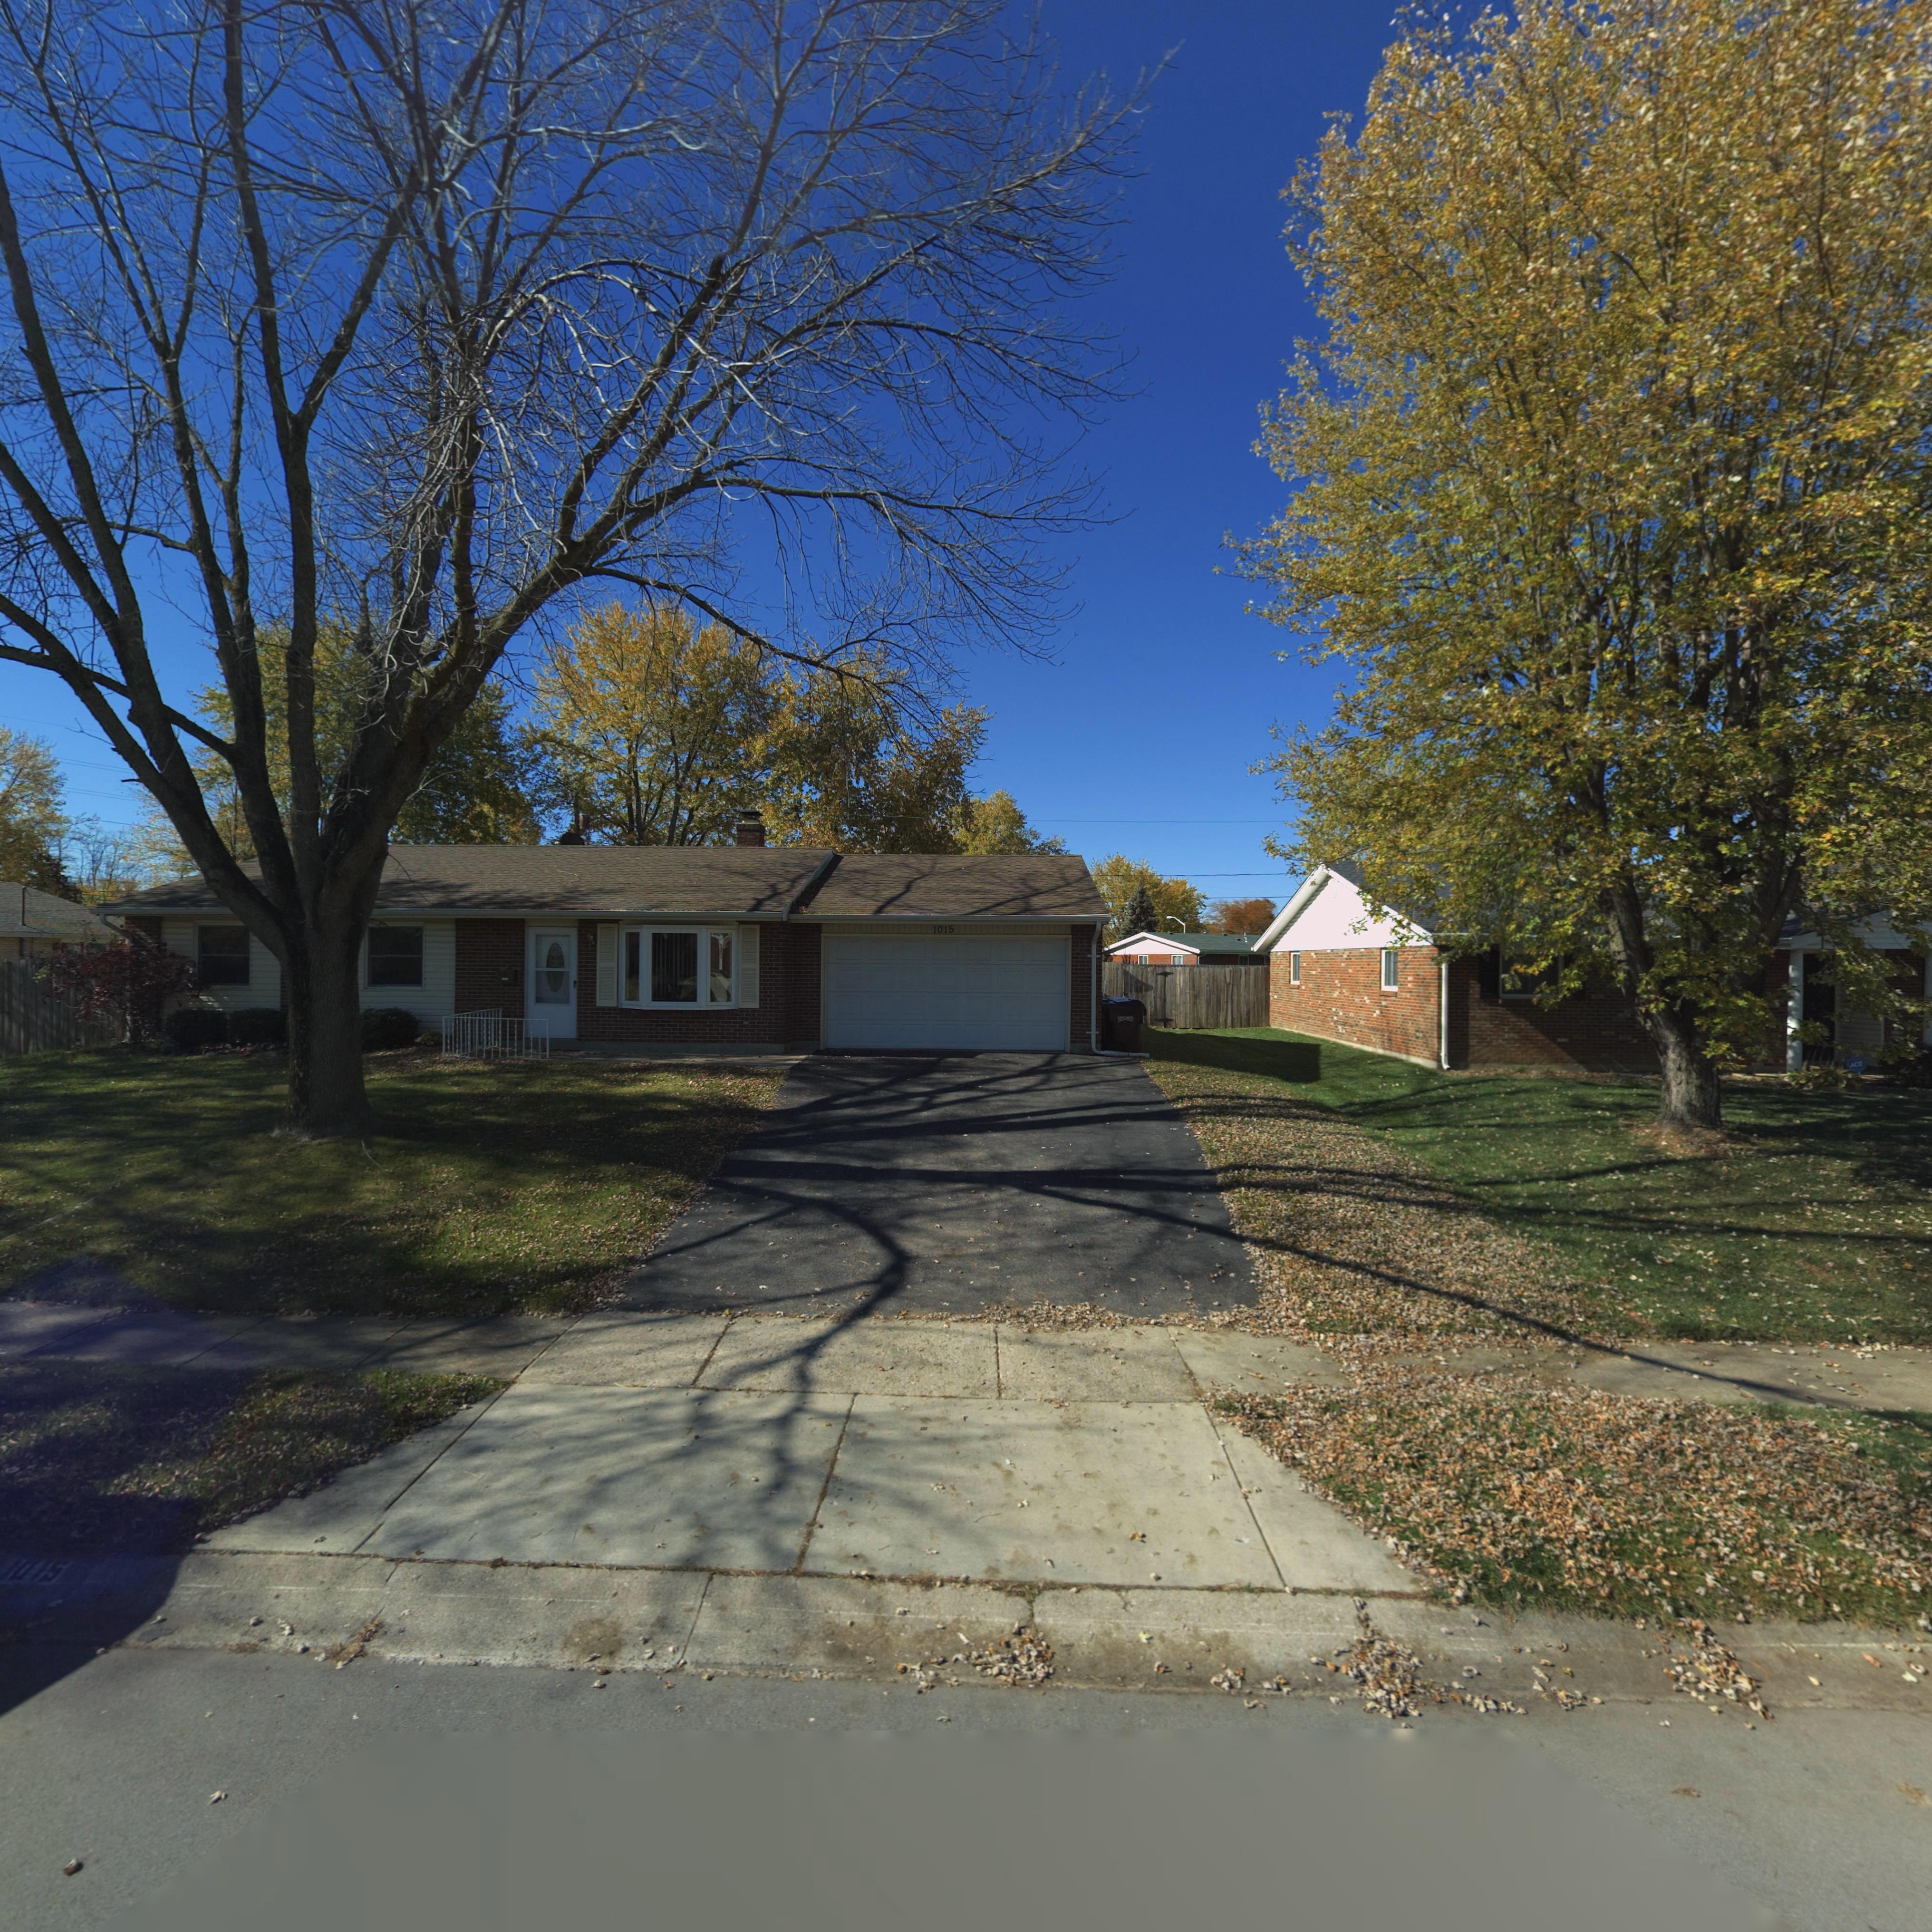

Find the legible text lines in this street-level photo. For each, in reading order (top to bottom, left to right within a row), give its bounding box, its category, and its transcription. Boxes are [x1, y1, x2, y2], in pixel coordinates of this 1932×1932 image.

[933, 925, 954, 934] StreetNumber: 1015
[0, 1557, 73, 1584] StreetNumber: 1015